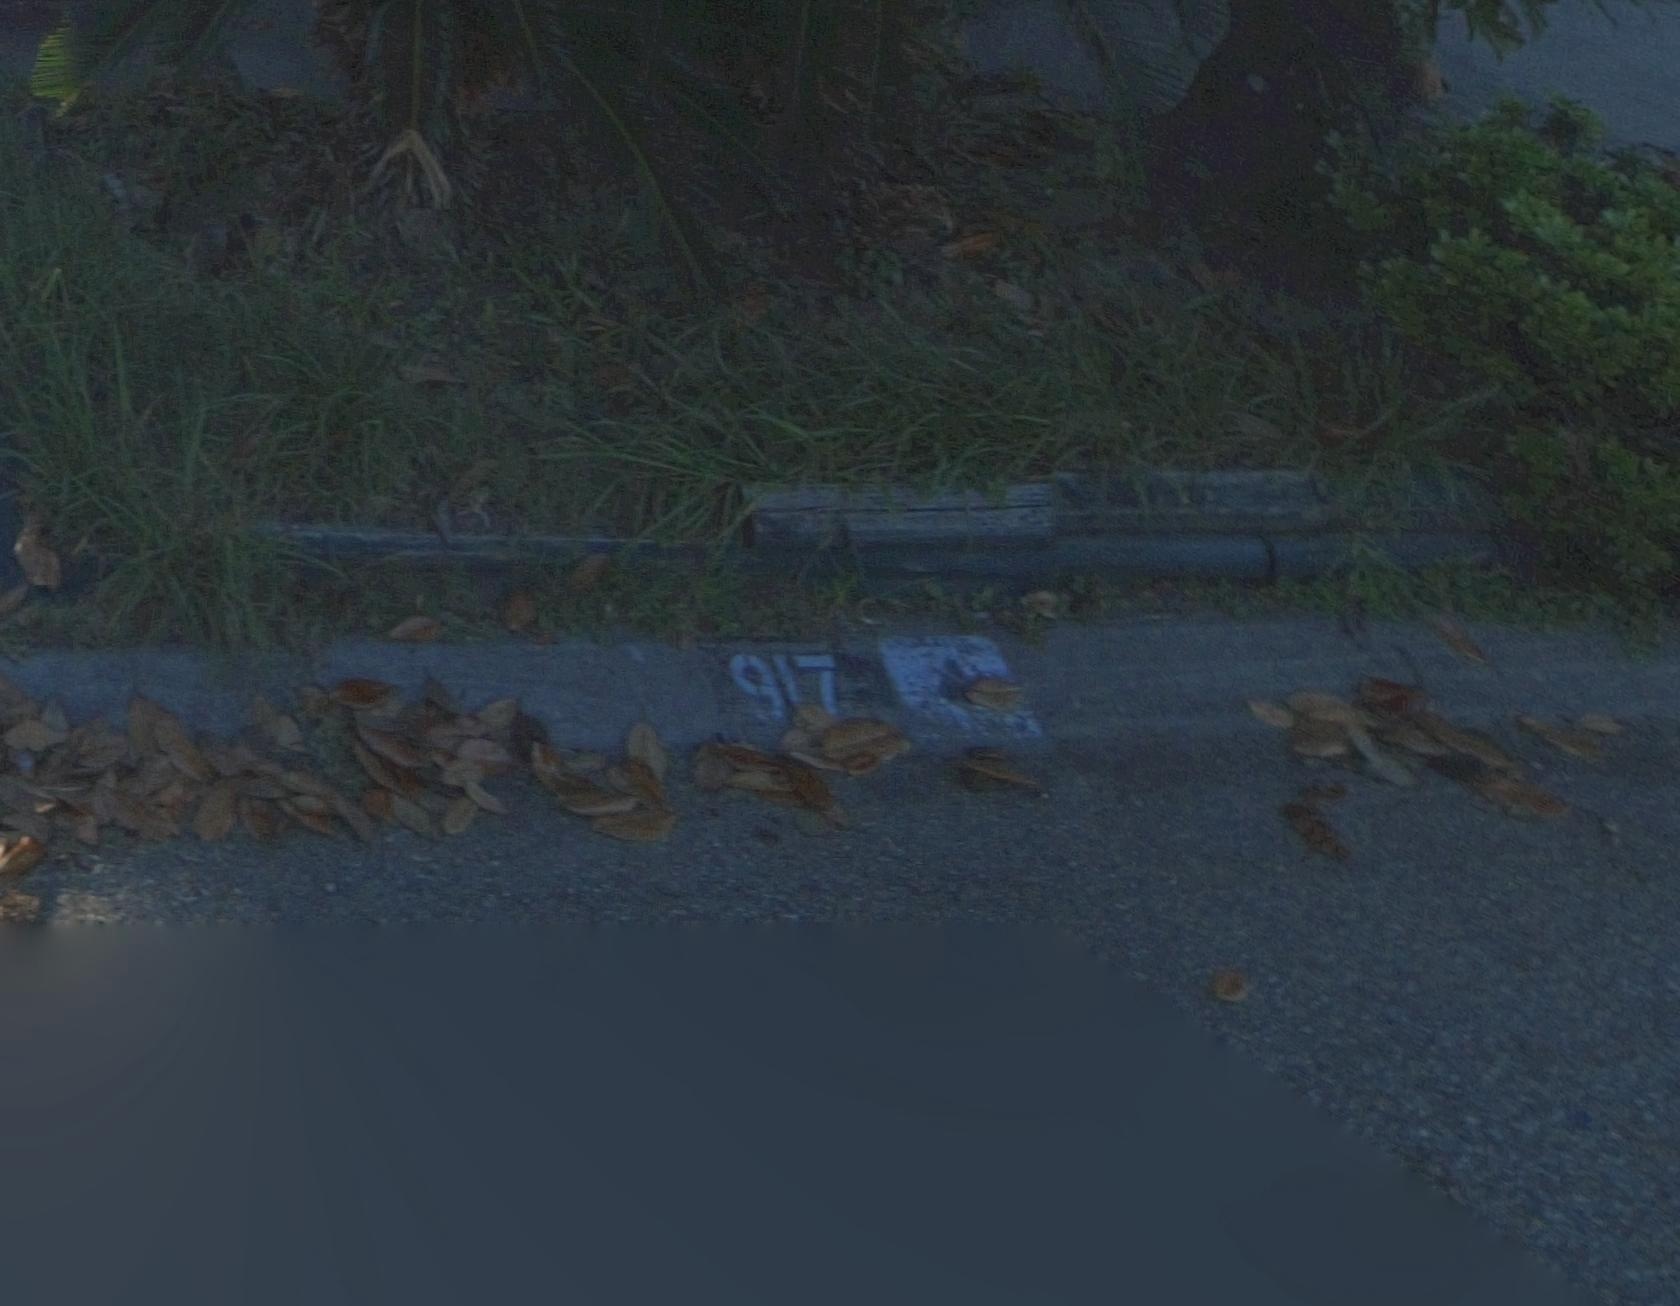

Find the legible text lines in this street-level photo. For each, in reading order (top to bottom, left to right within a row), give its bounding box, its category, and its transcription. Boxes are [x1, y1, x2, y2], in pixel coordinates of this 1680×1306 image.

[717, 644, 850, 731] StreetNumber: 917